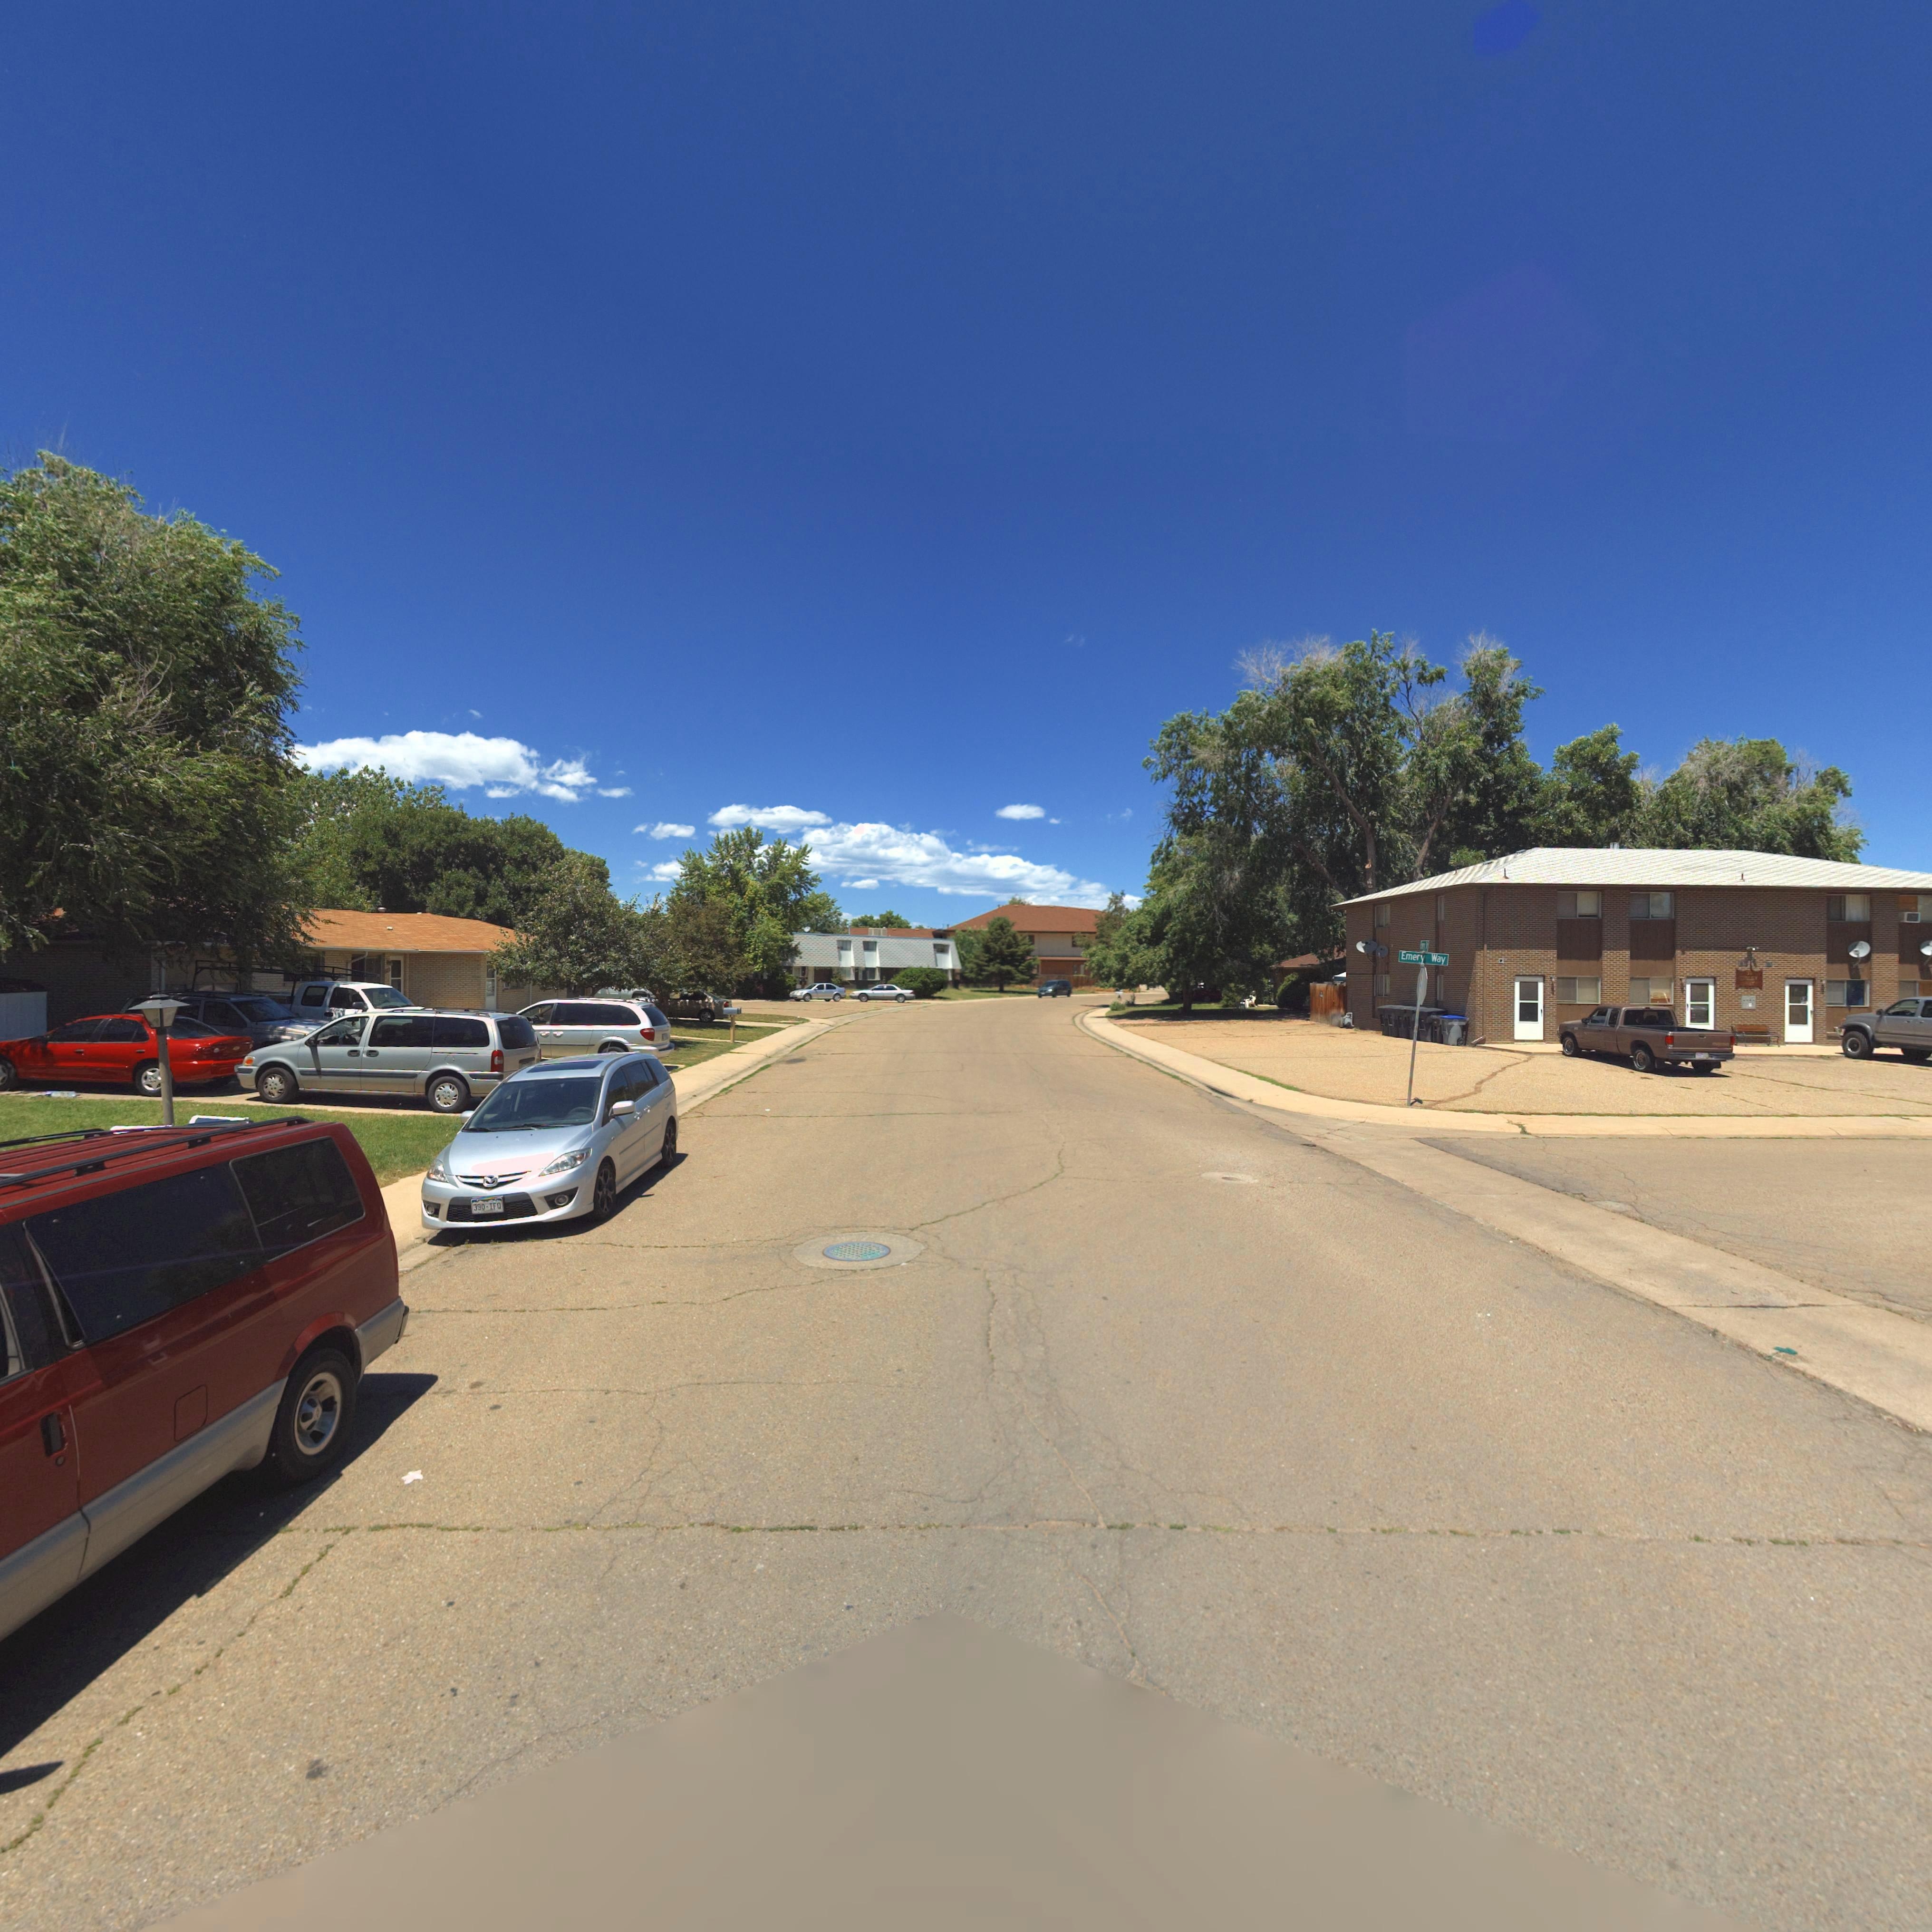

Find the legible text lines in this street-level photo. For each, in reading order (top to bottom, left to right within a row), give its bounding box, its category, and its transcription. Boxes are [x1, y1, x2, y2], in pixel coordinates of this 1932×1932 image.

[1420, 941, 1429, 951] StreetName: **e** **
[1401, 951, 1446, 965] StreetName: Emery Way